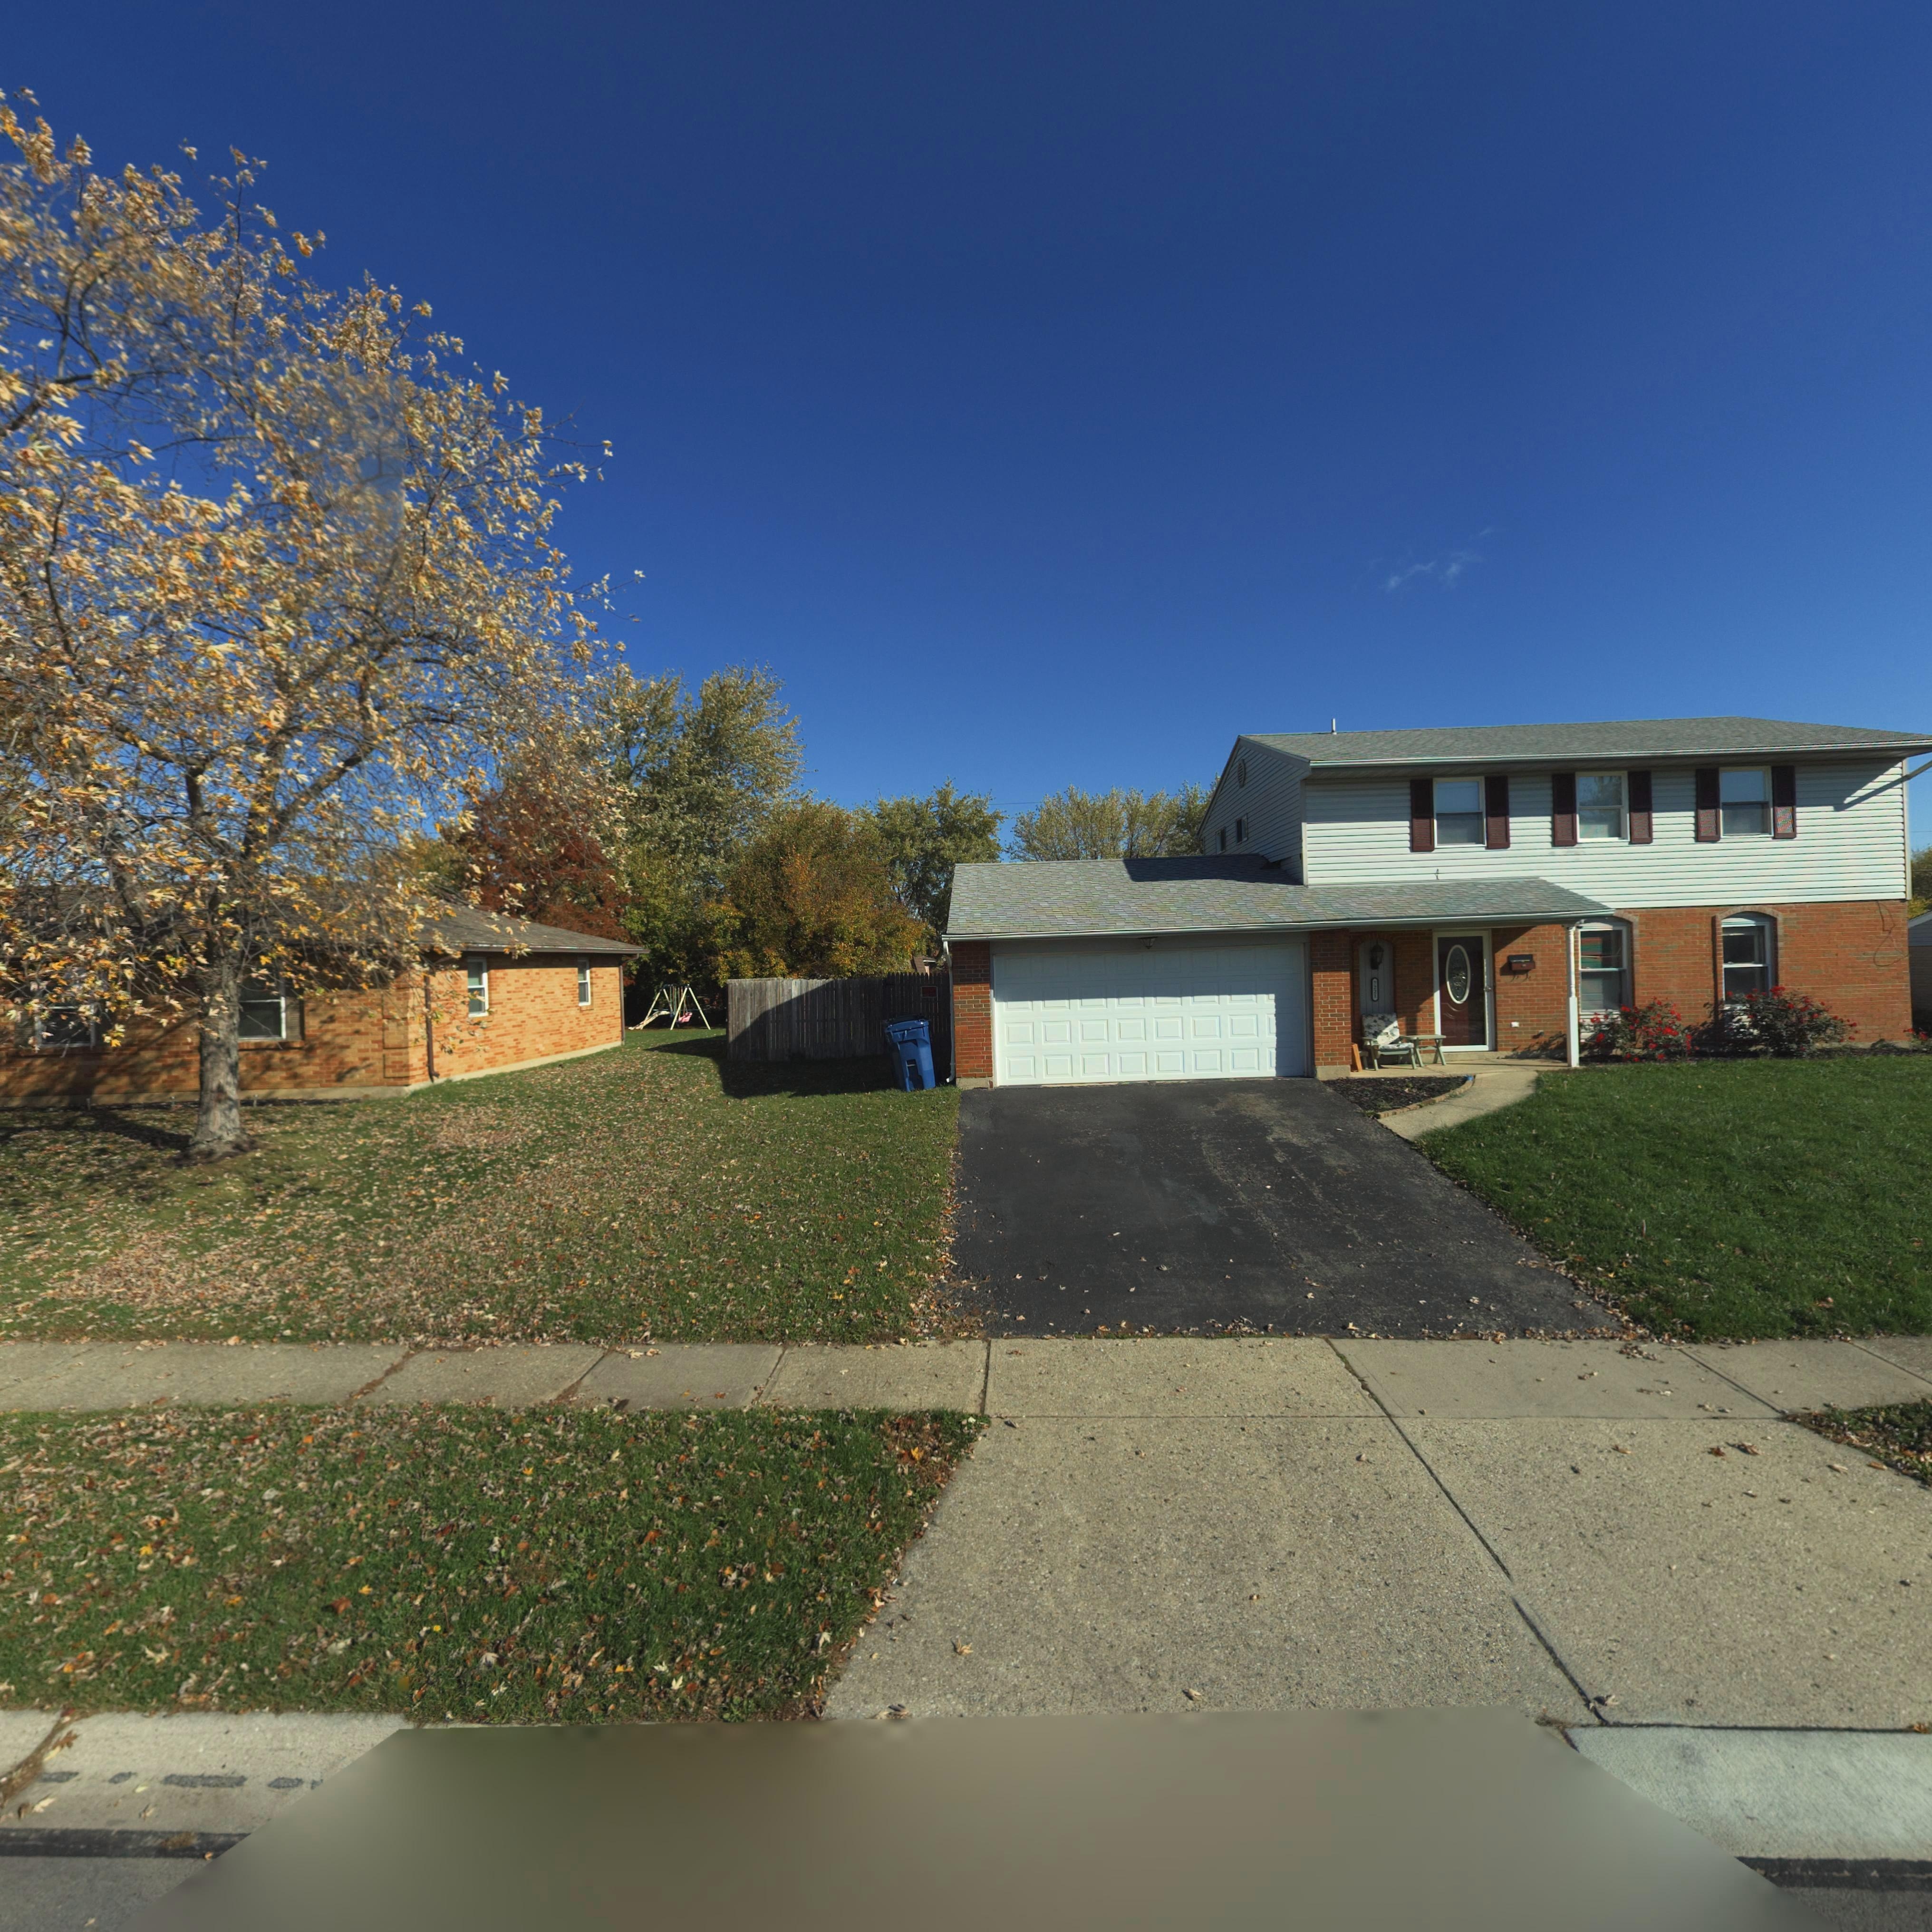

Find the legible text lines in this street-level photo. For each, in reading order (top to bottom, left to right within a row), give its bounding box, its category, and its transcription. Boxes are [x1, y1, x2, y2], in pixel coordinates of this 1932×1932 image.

[1372, 980, 1378, 999] StreetNumber: 7221